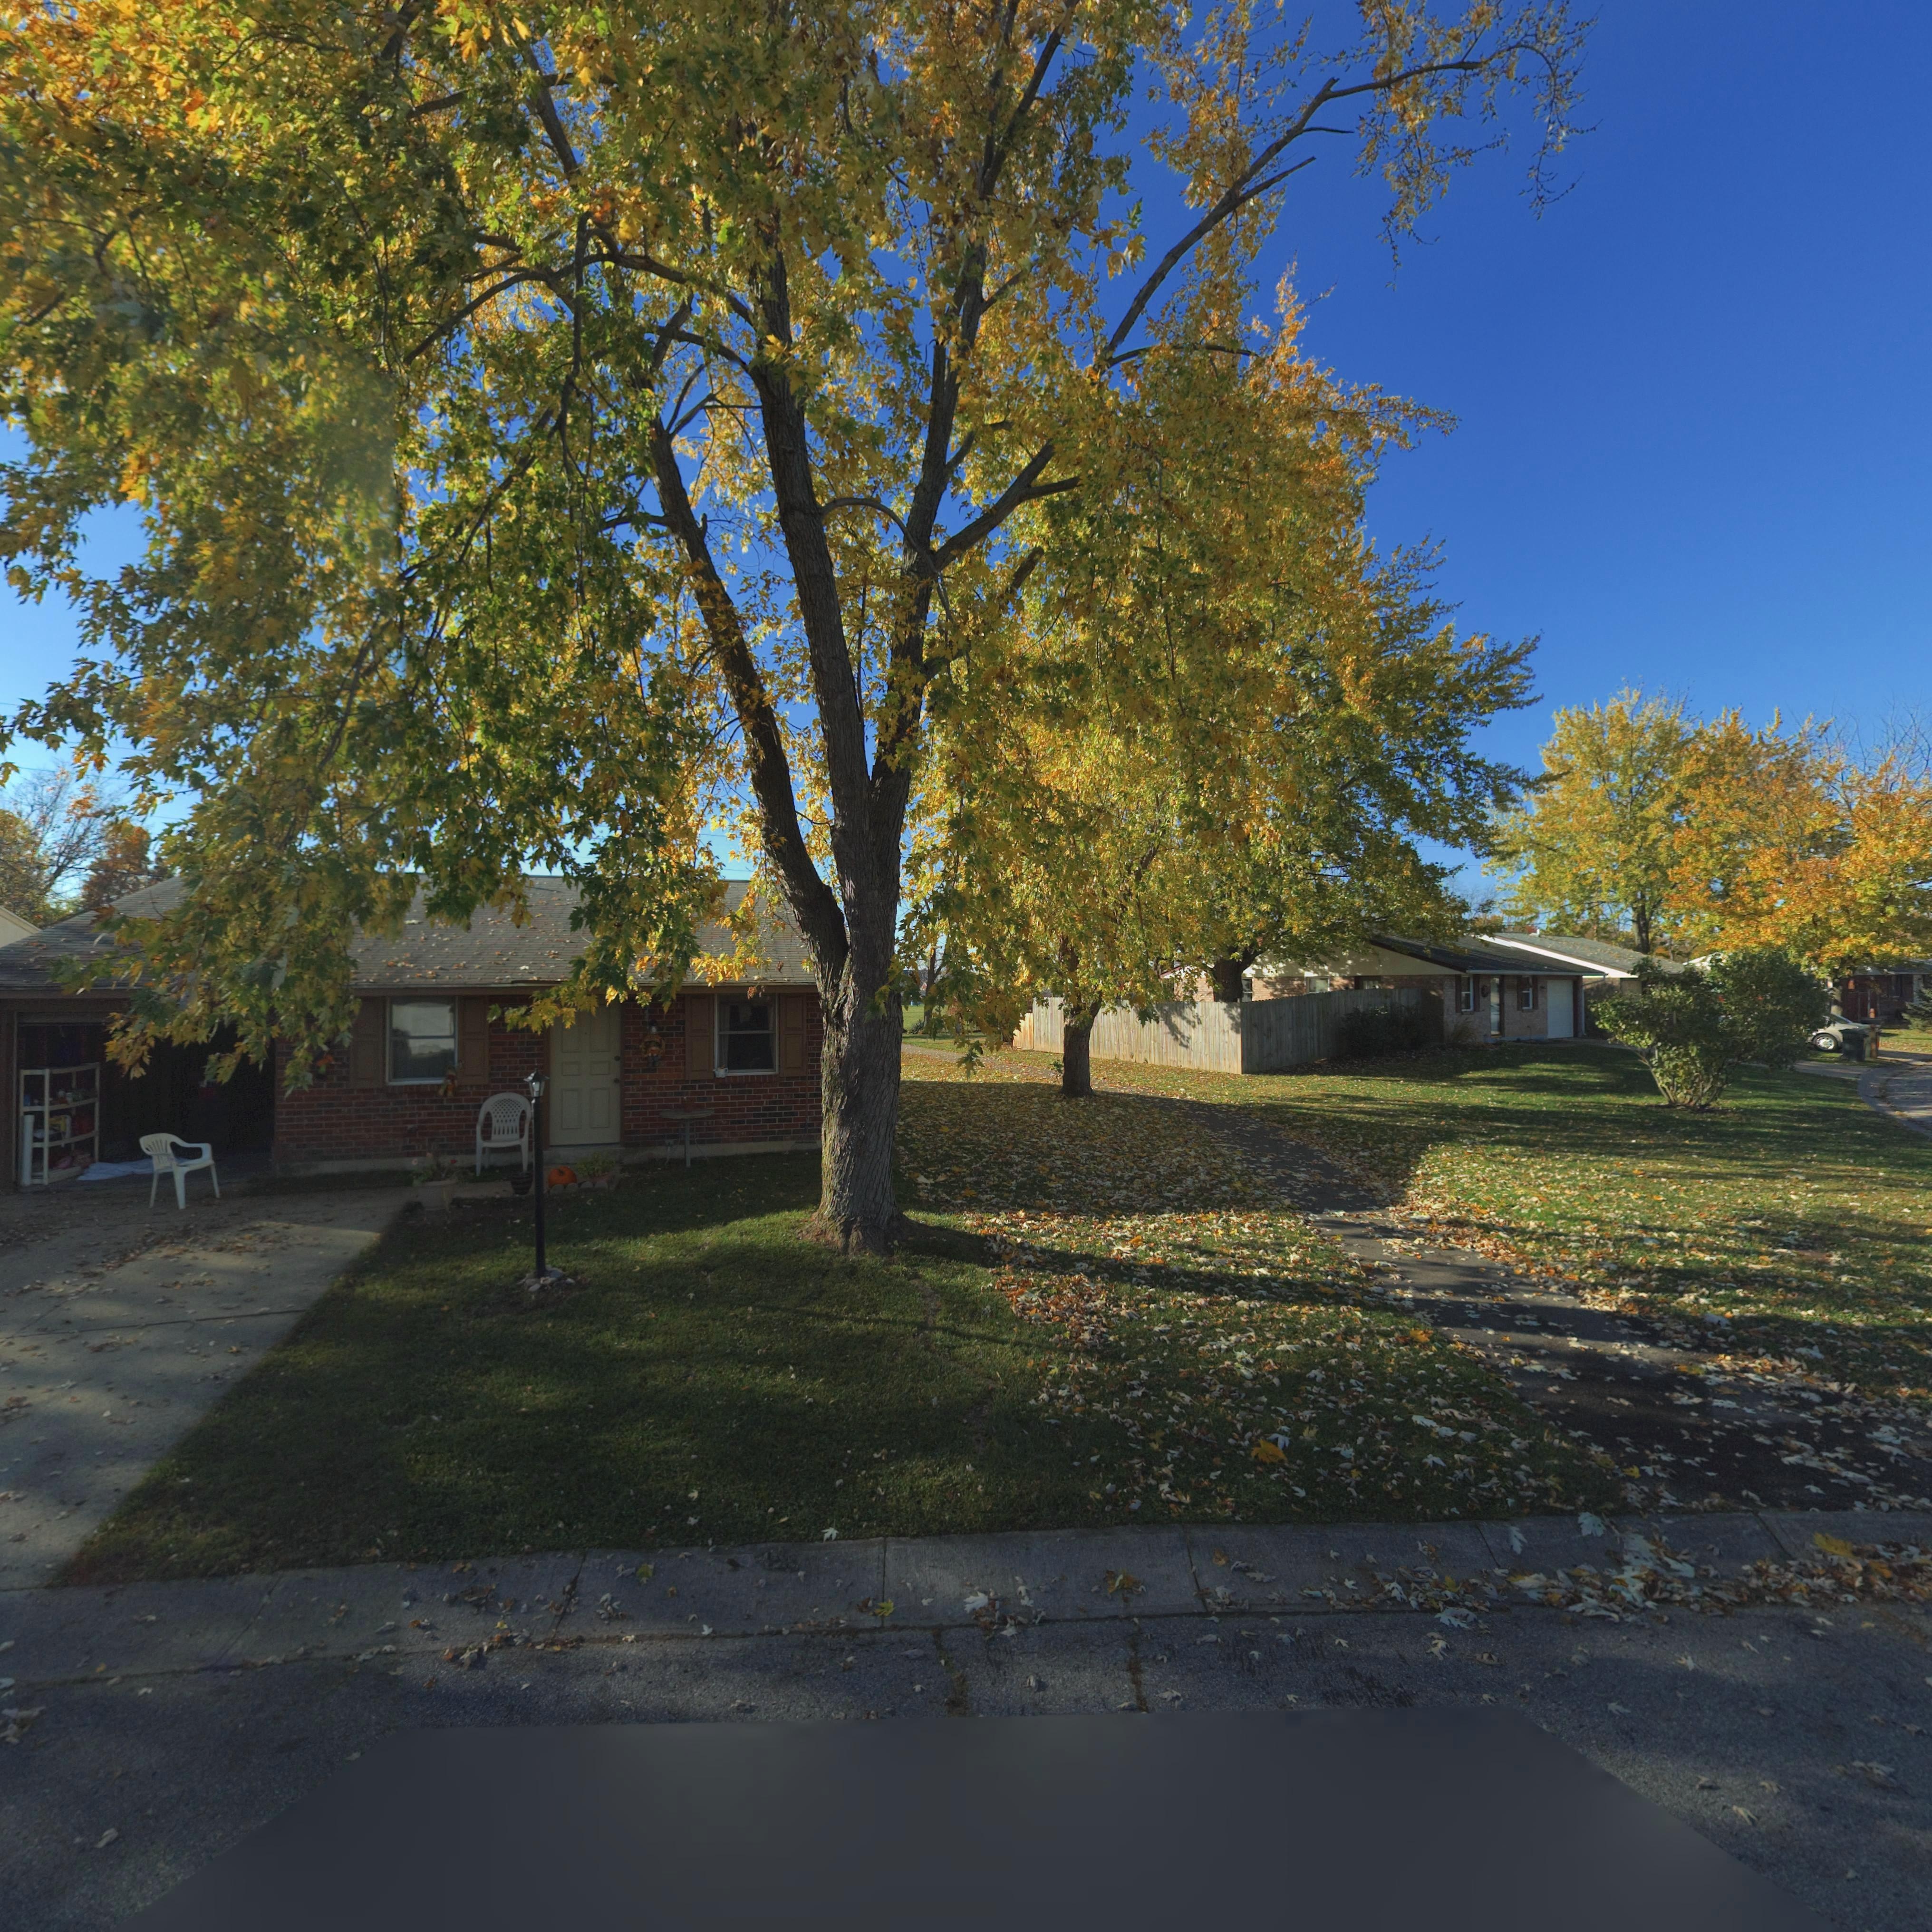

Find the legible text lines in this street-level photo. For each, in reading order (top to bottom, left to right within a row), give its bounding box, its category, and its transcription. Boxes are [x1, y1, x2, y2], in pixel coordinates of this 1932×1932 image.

[121, 1000, 129, 1010] StreetNumber: 5